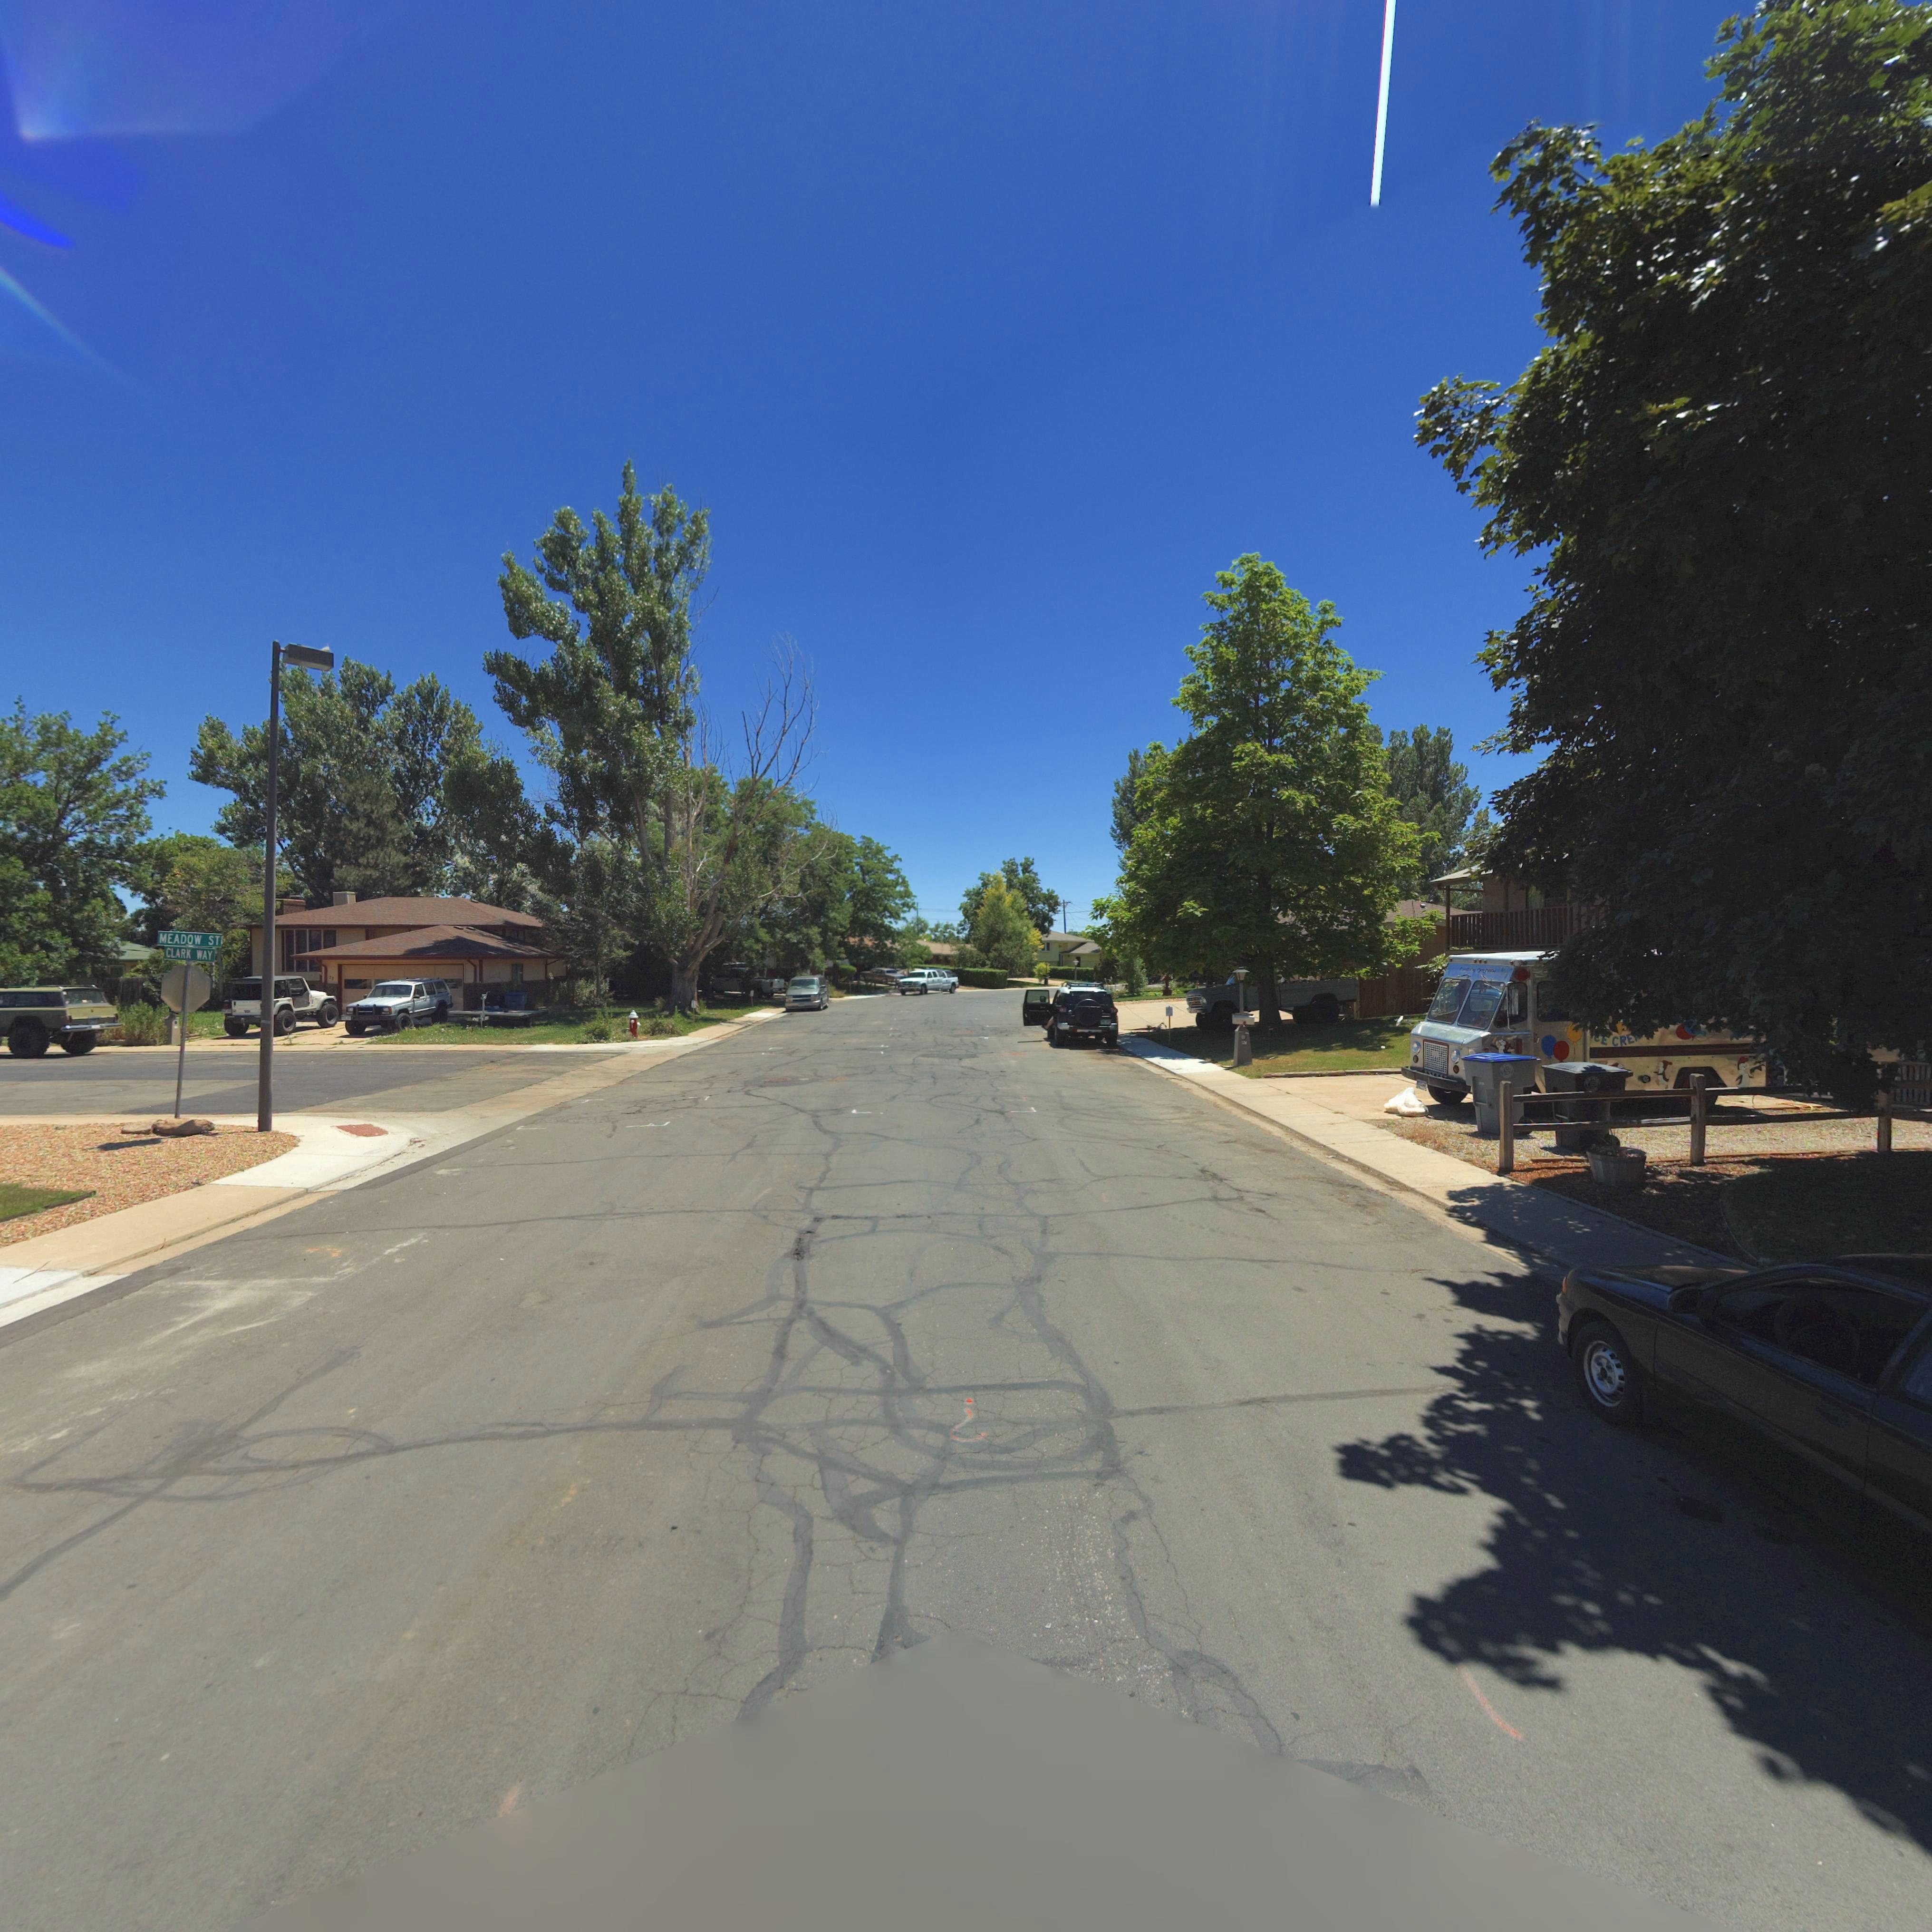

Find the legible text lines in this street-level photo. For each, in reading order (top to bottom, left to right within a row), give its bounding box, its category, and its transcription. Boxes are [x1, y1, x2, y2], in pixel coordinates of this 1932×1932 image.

[159, 932, 220, 946] StreetName: MEADOW ST
[165, 947, 213, 961] StreetName: CLARK WAY
[328, 975, 334, 981] StreetNumber: 2*